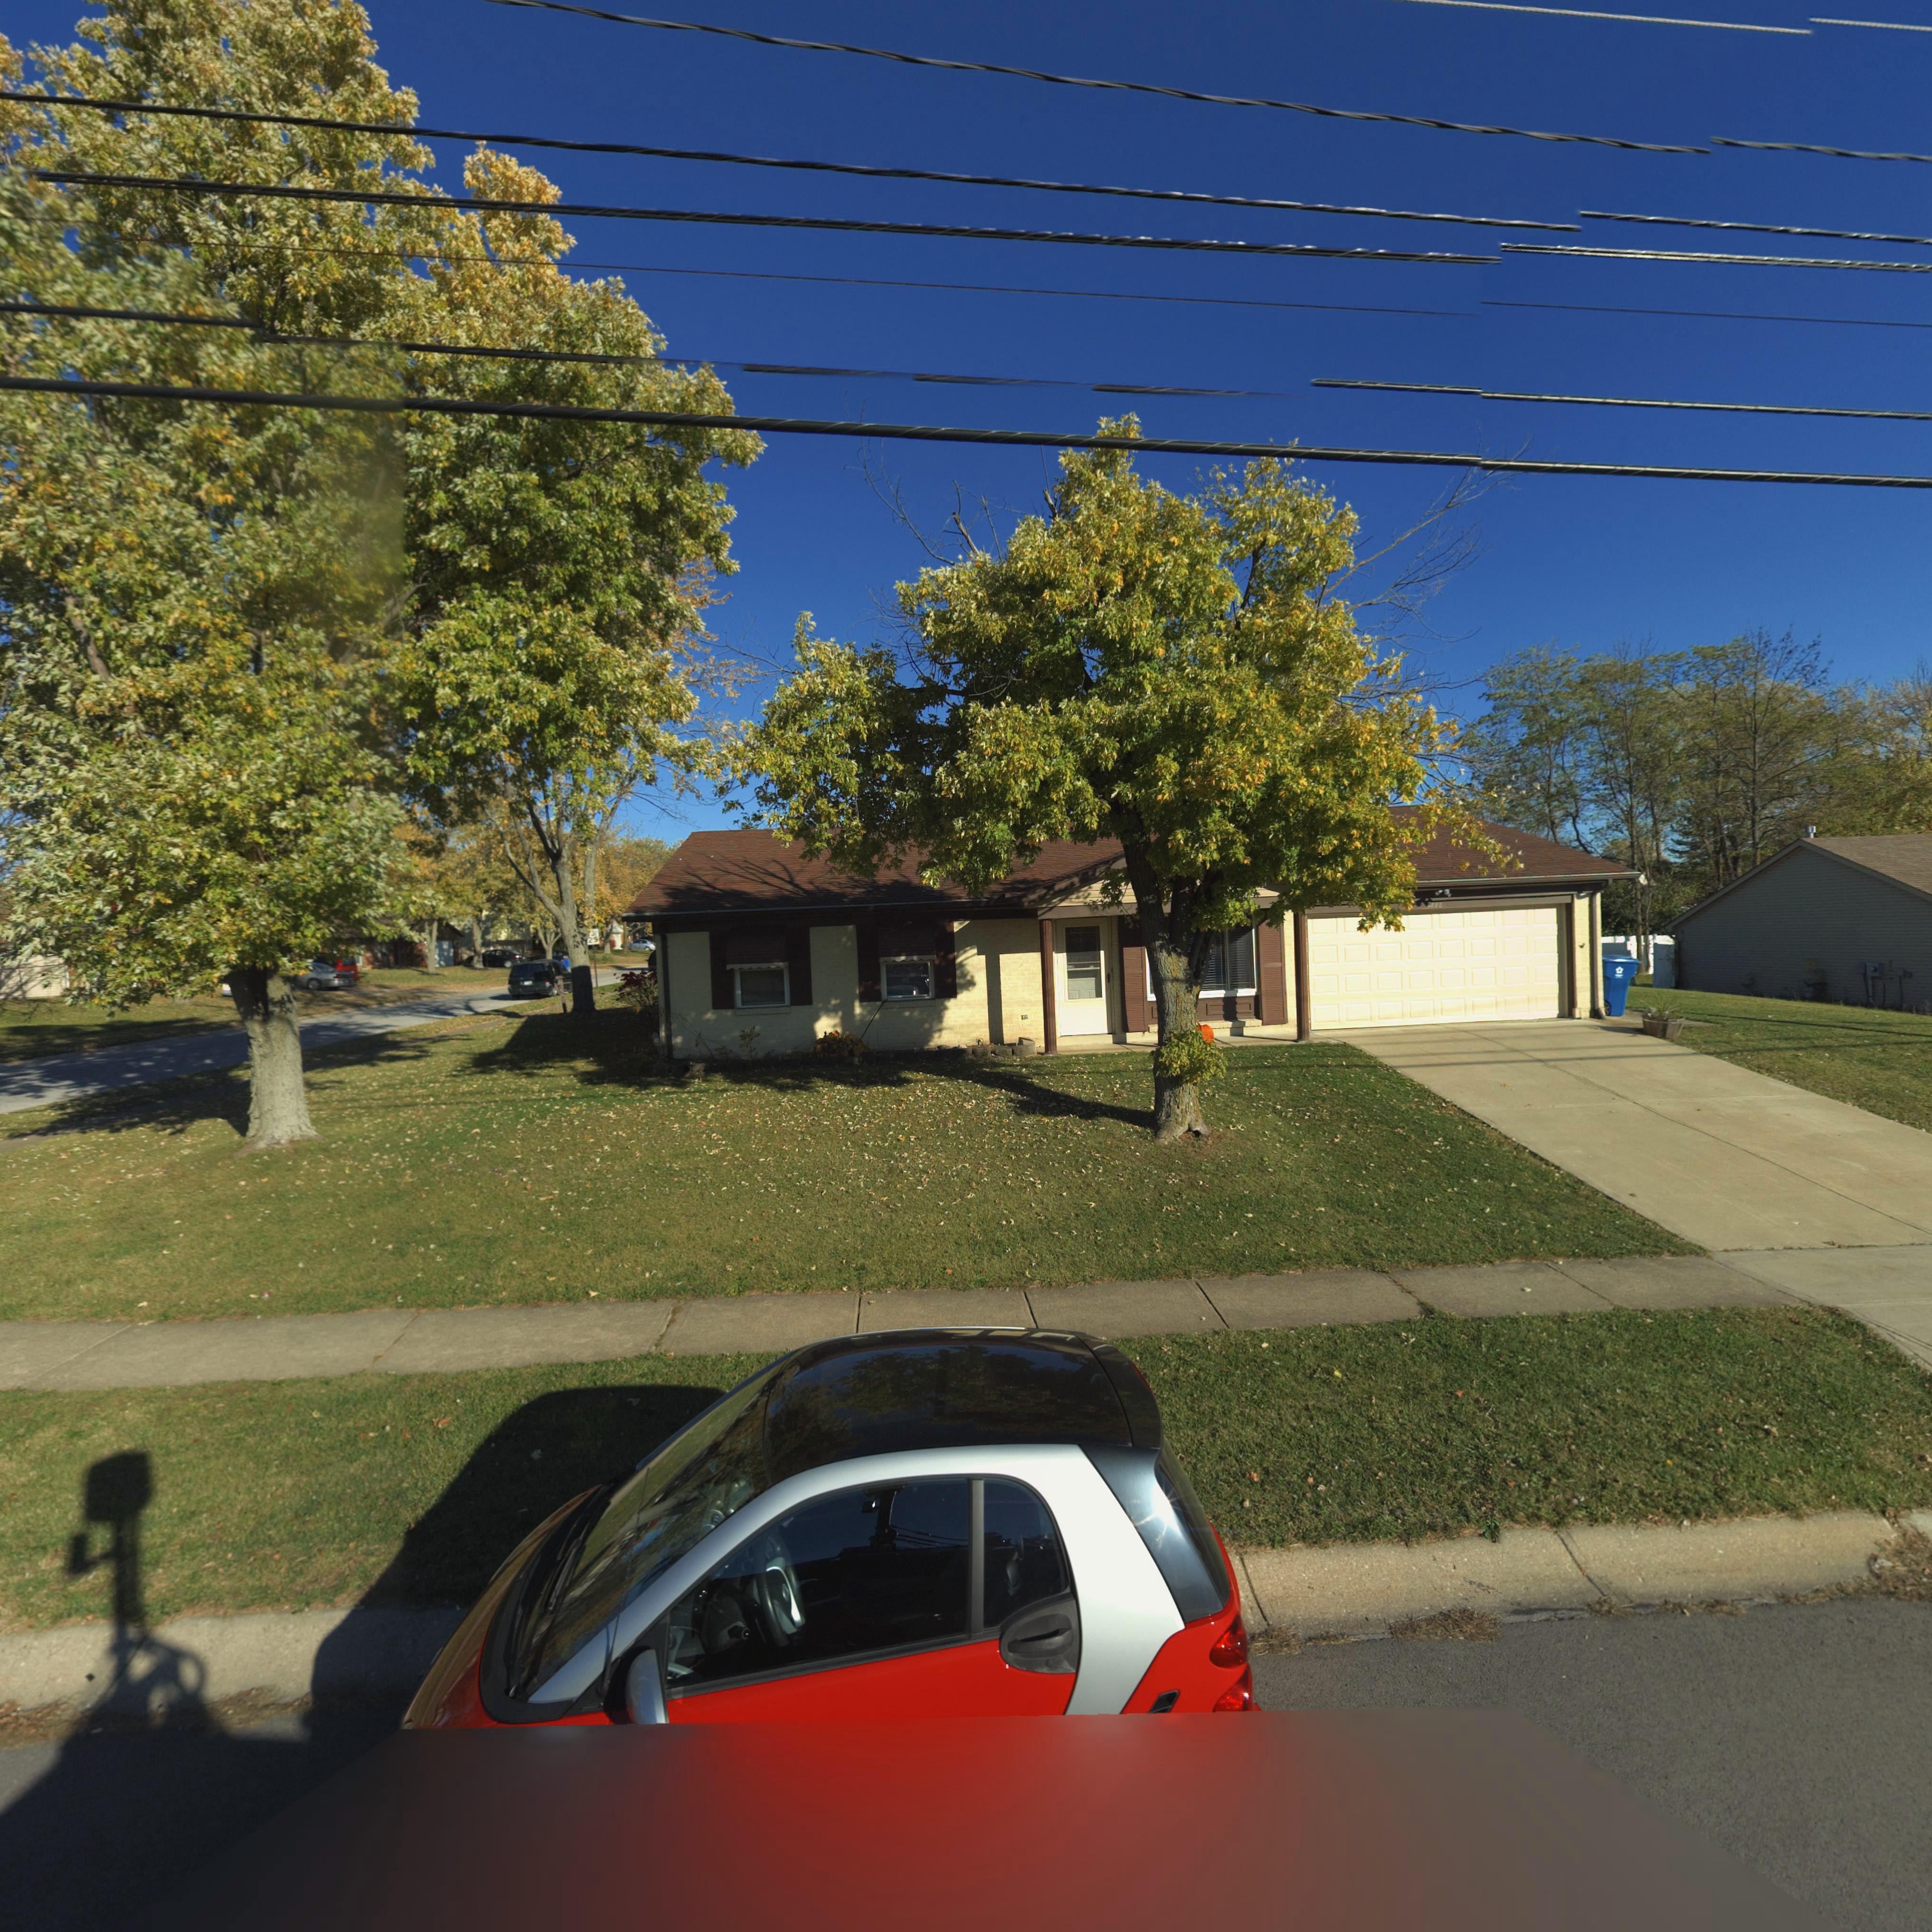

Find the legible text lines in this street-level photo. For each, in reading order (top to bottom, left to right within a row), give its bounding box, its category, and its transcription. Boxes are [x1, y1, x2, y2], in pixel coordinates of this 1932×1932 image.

[1426, 901, 1444, 909] StreetNumber: *888